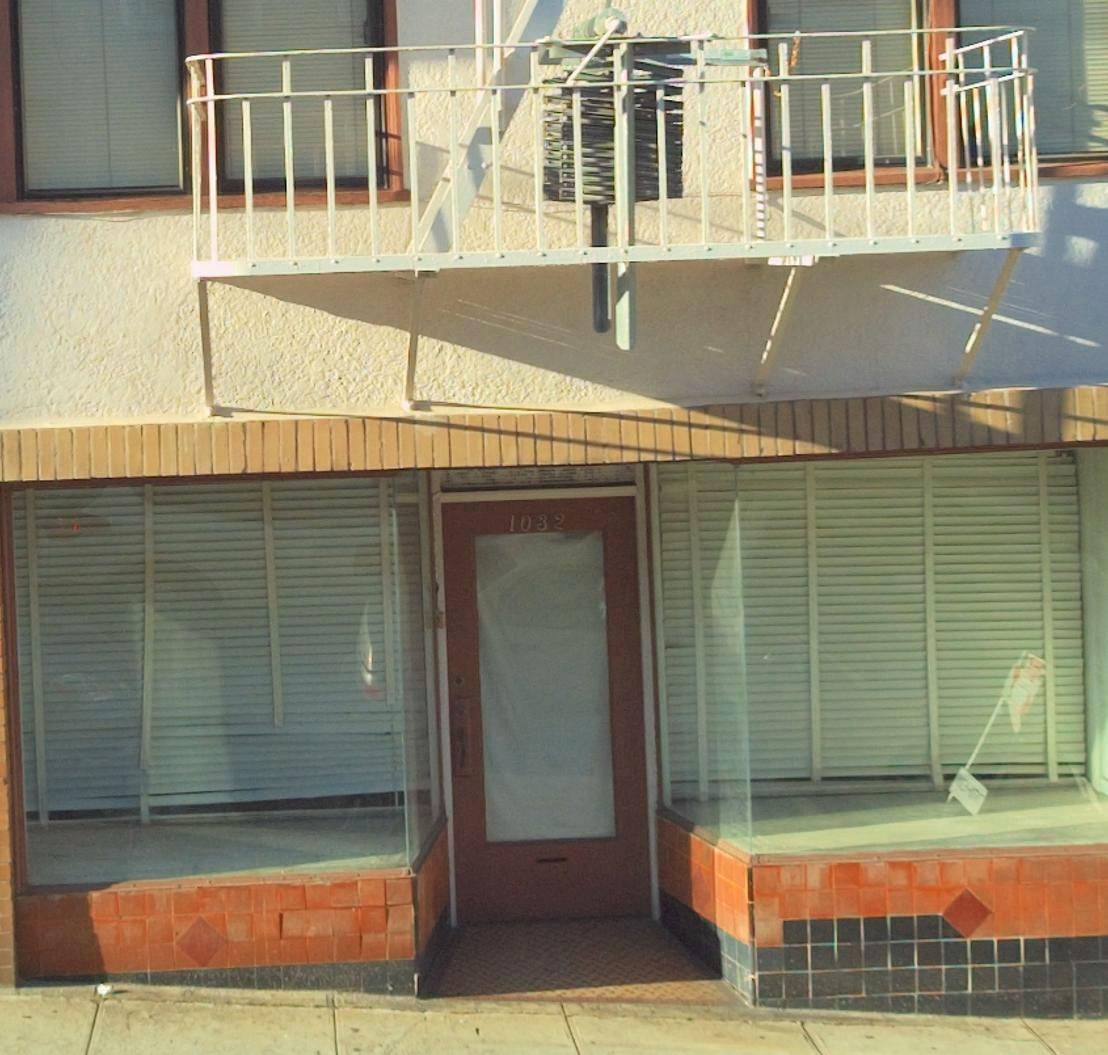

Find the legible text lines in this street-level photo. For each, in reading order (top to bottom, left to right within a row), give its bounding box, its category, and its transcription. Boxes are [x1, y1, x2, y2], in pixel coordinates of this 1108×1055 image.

[506, 510, 566, 534] StreetNumber: 1032